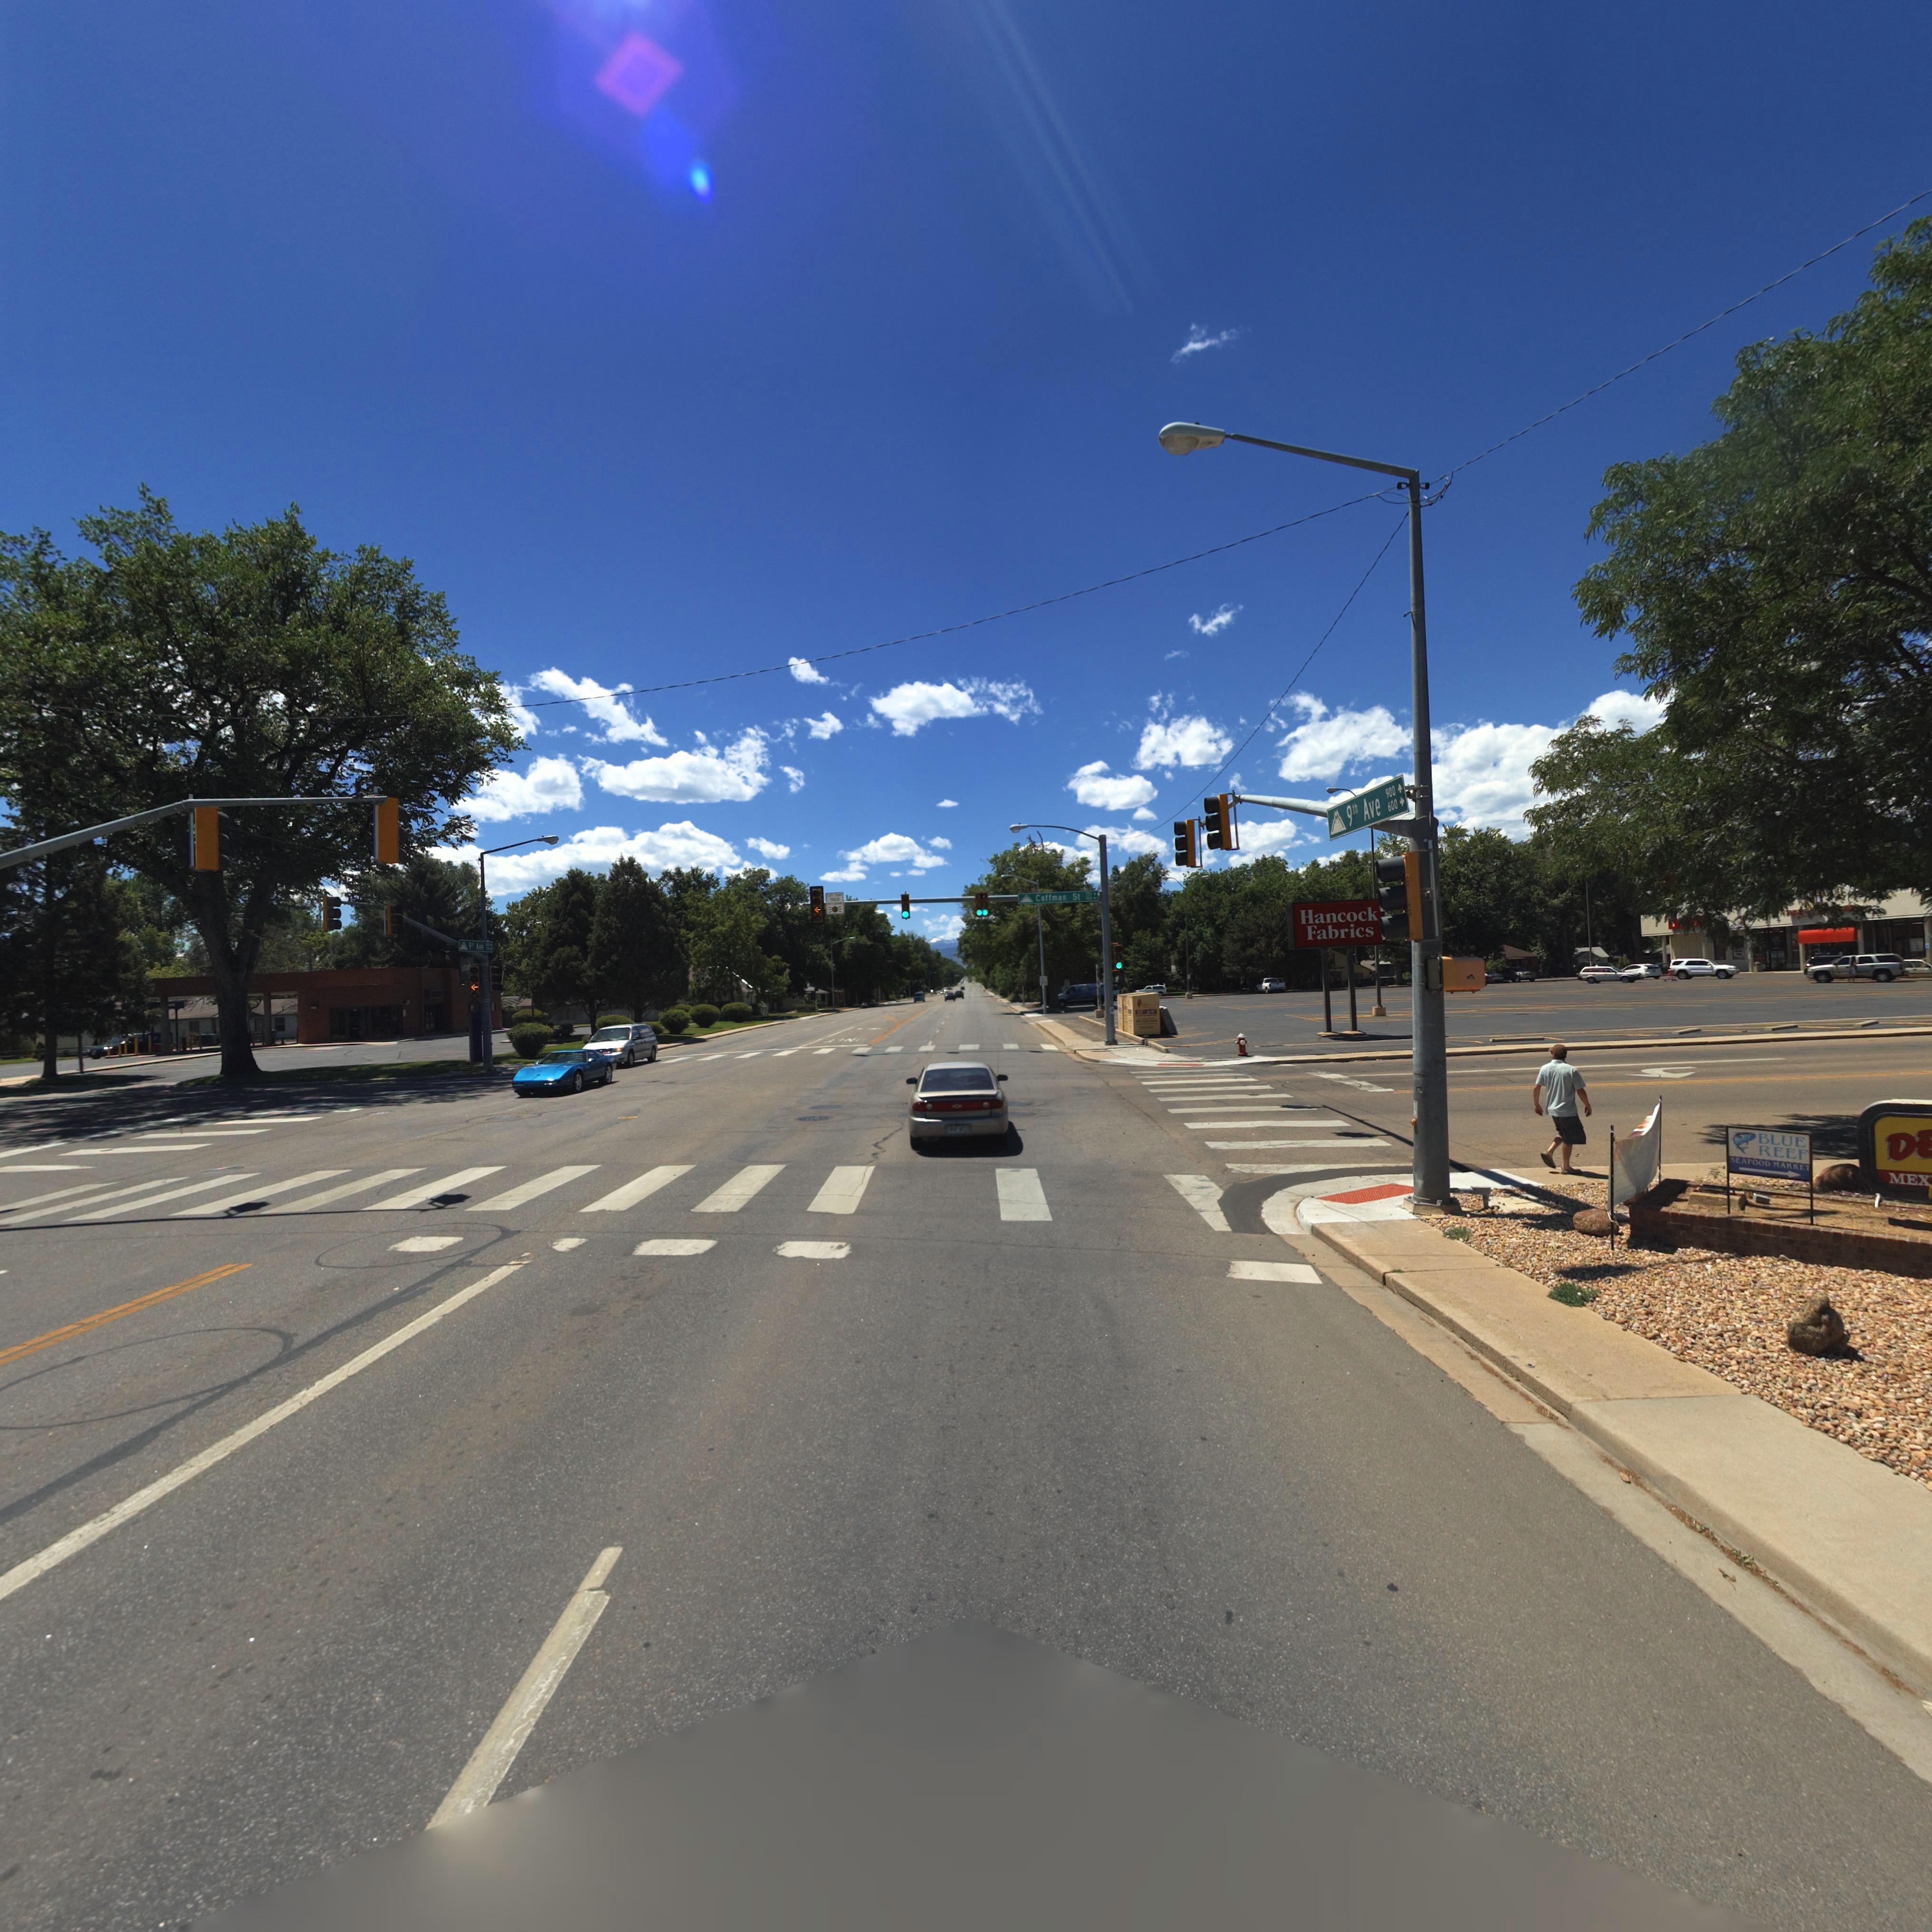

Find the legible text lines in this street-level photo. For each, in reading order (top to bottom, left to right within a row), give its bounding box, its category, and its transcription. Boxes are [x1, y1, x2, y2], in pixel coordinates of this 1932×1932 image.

[1385, 785, 1397, 799] StreetNumberRange: 900
[1387, 796, 1405, 812] StreetNumberRange: 600 ->
[1345, 797, 1382, 828] StreetName: 9th Ave
[1034, 892, 1081, 902] StreetName: Coffman St
[1085, 891, 1092, 896] StreetNumberRange: 700
[1085, 896, 1097, 900] StreetNumberRange: 900 ->
[1300, 906, 1379, 924] BusinessName: Hancock
[1306, 923, 1375, 940] BusinessName: Fabrics
[468, 941, 484, 950] StreetName: 9** Ave
[460, 962, 472, 971] BusinessName: *sba**
[1758, 1133, 1806, 1148] BusinessName: BLUE
[1759, 1145, 1809, 1160] BusinessName: REEF
[1886, 1131, 1917, 1162] BusinessName: D
[1730, 1156, 1810, 1171] BusinessName: SEAFOOD MARKET
[1888, 1172, 1932, 1186] BusinessName: MEX